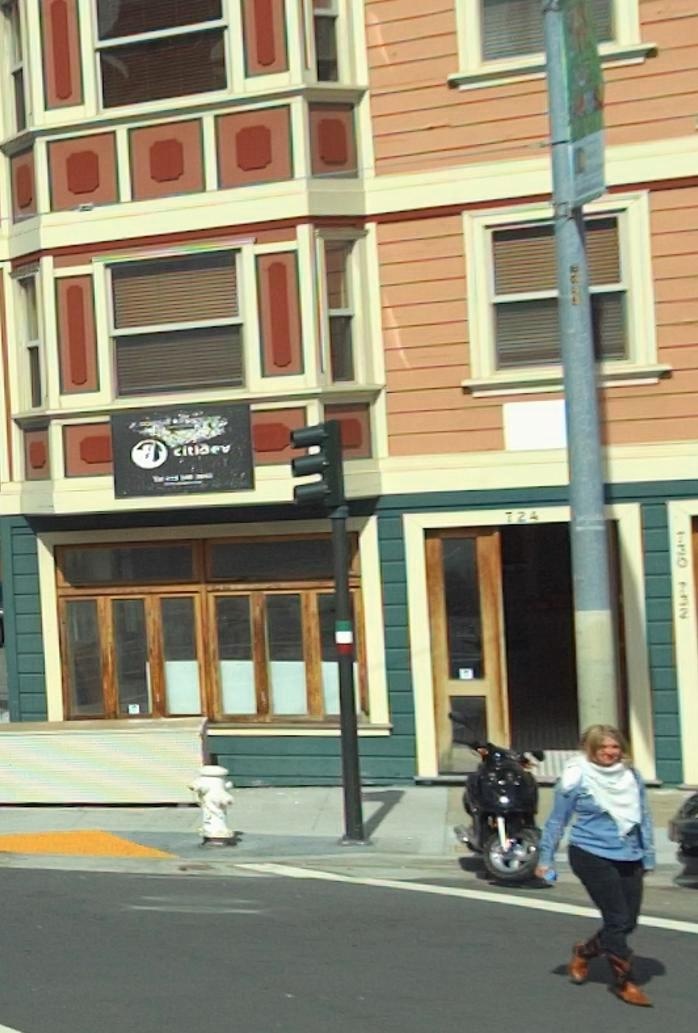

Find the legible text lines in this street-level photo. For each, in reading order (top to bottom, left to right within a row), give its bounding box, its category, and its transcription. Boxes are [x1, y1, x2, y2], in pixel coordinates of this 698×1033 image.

[170, 441, 234, 459] None: citi***
[503, 509, 540, 525] StreetNumber: 724
[672, 528, 690, 573] StreetNumber: 730
[676, 579, 692, 623] StreetNumber: 732